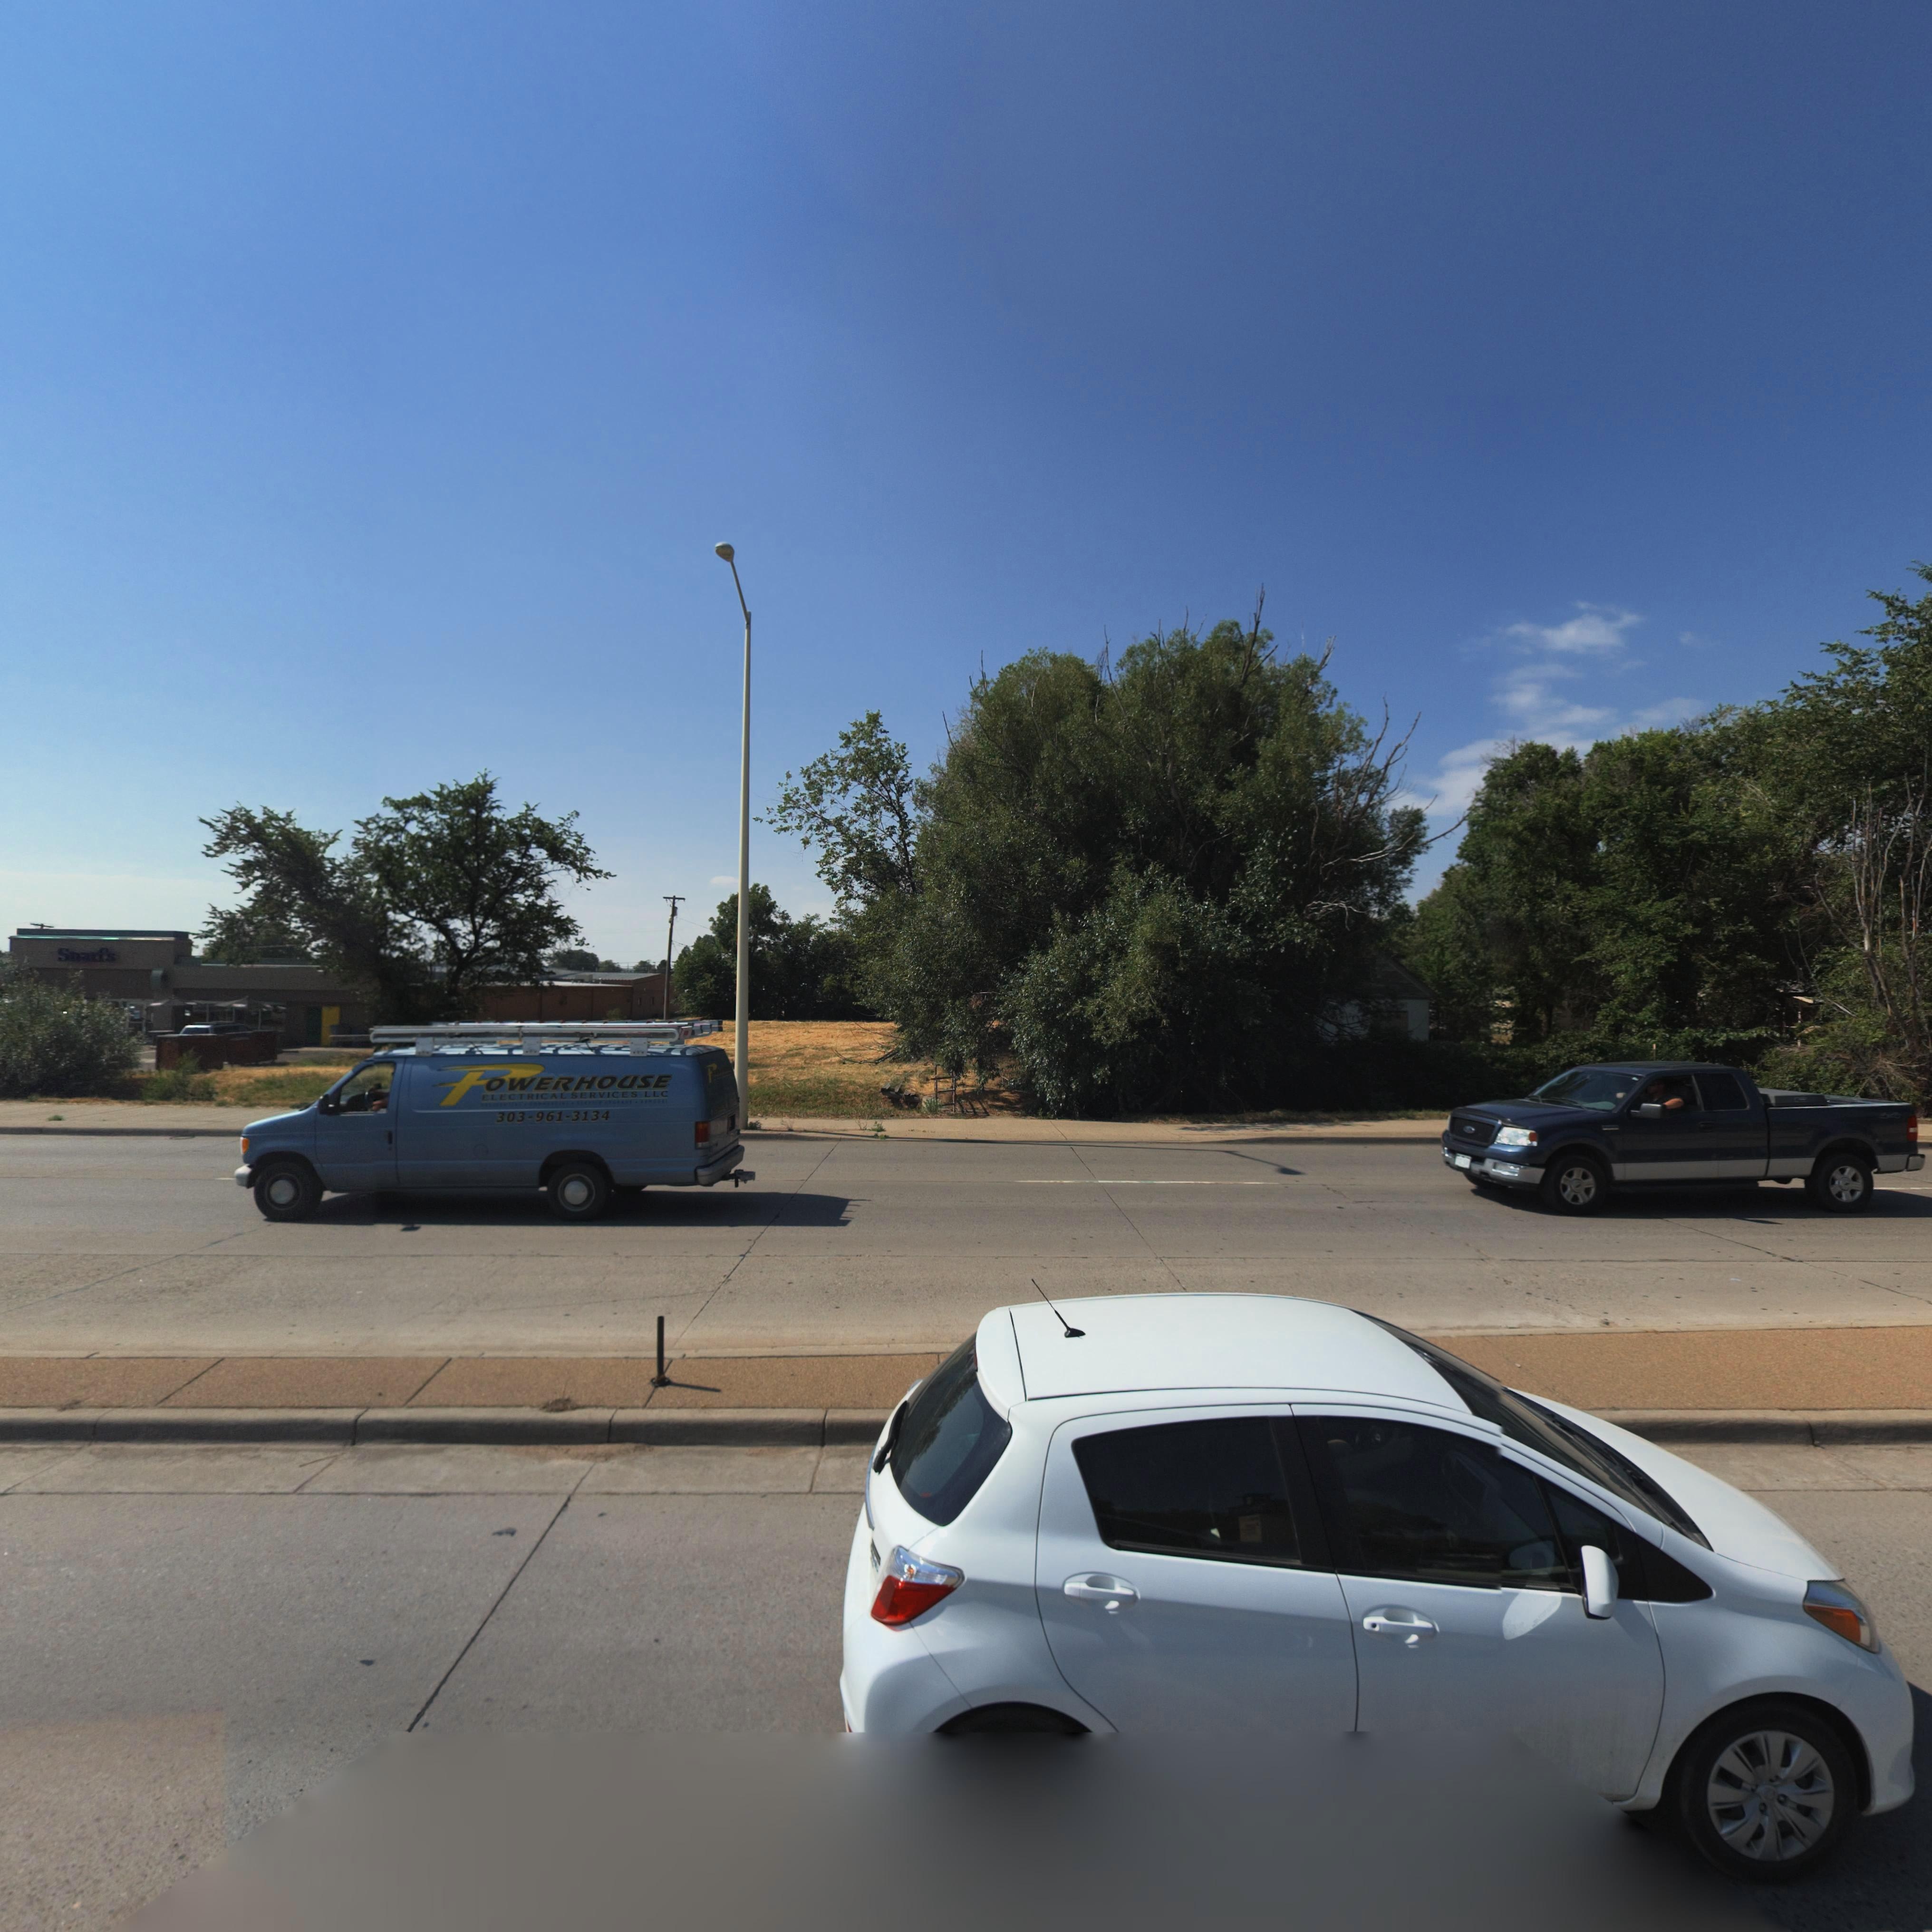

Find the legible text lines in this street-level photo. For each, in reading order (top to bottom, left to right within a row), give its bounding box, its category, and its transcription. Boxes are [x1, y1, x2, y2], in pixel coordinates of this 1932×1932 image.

[56, 947, 116, 962] BusinessName: Snarf's